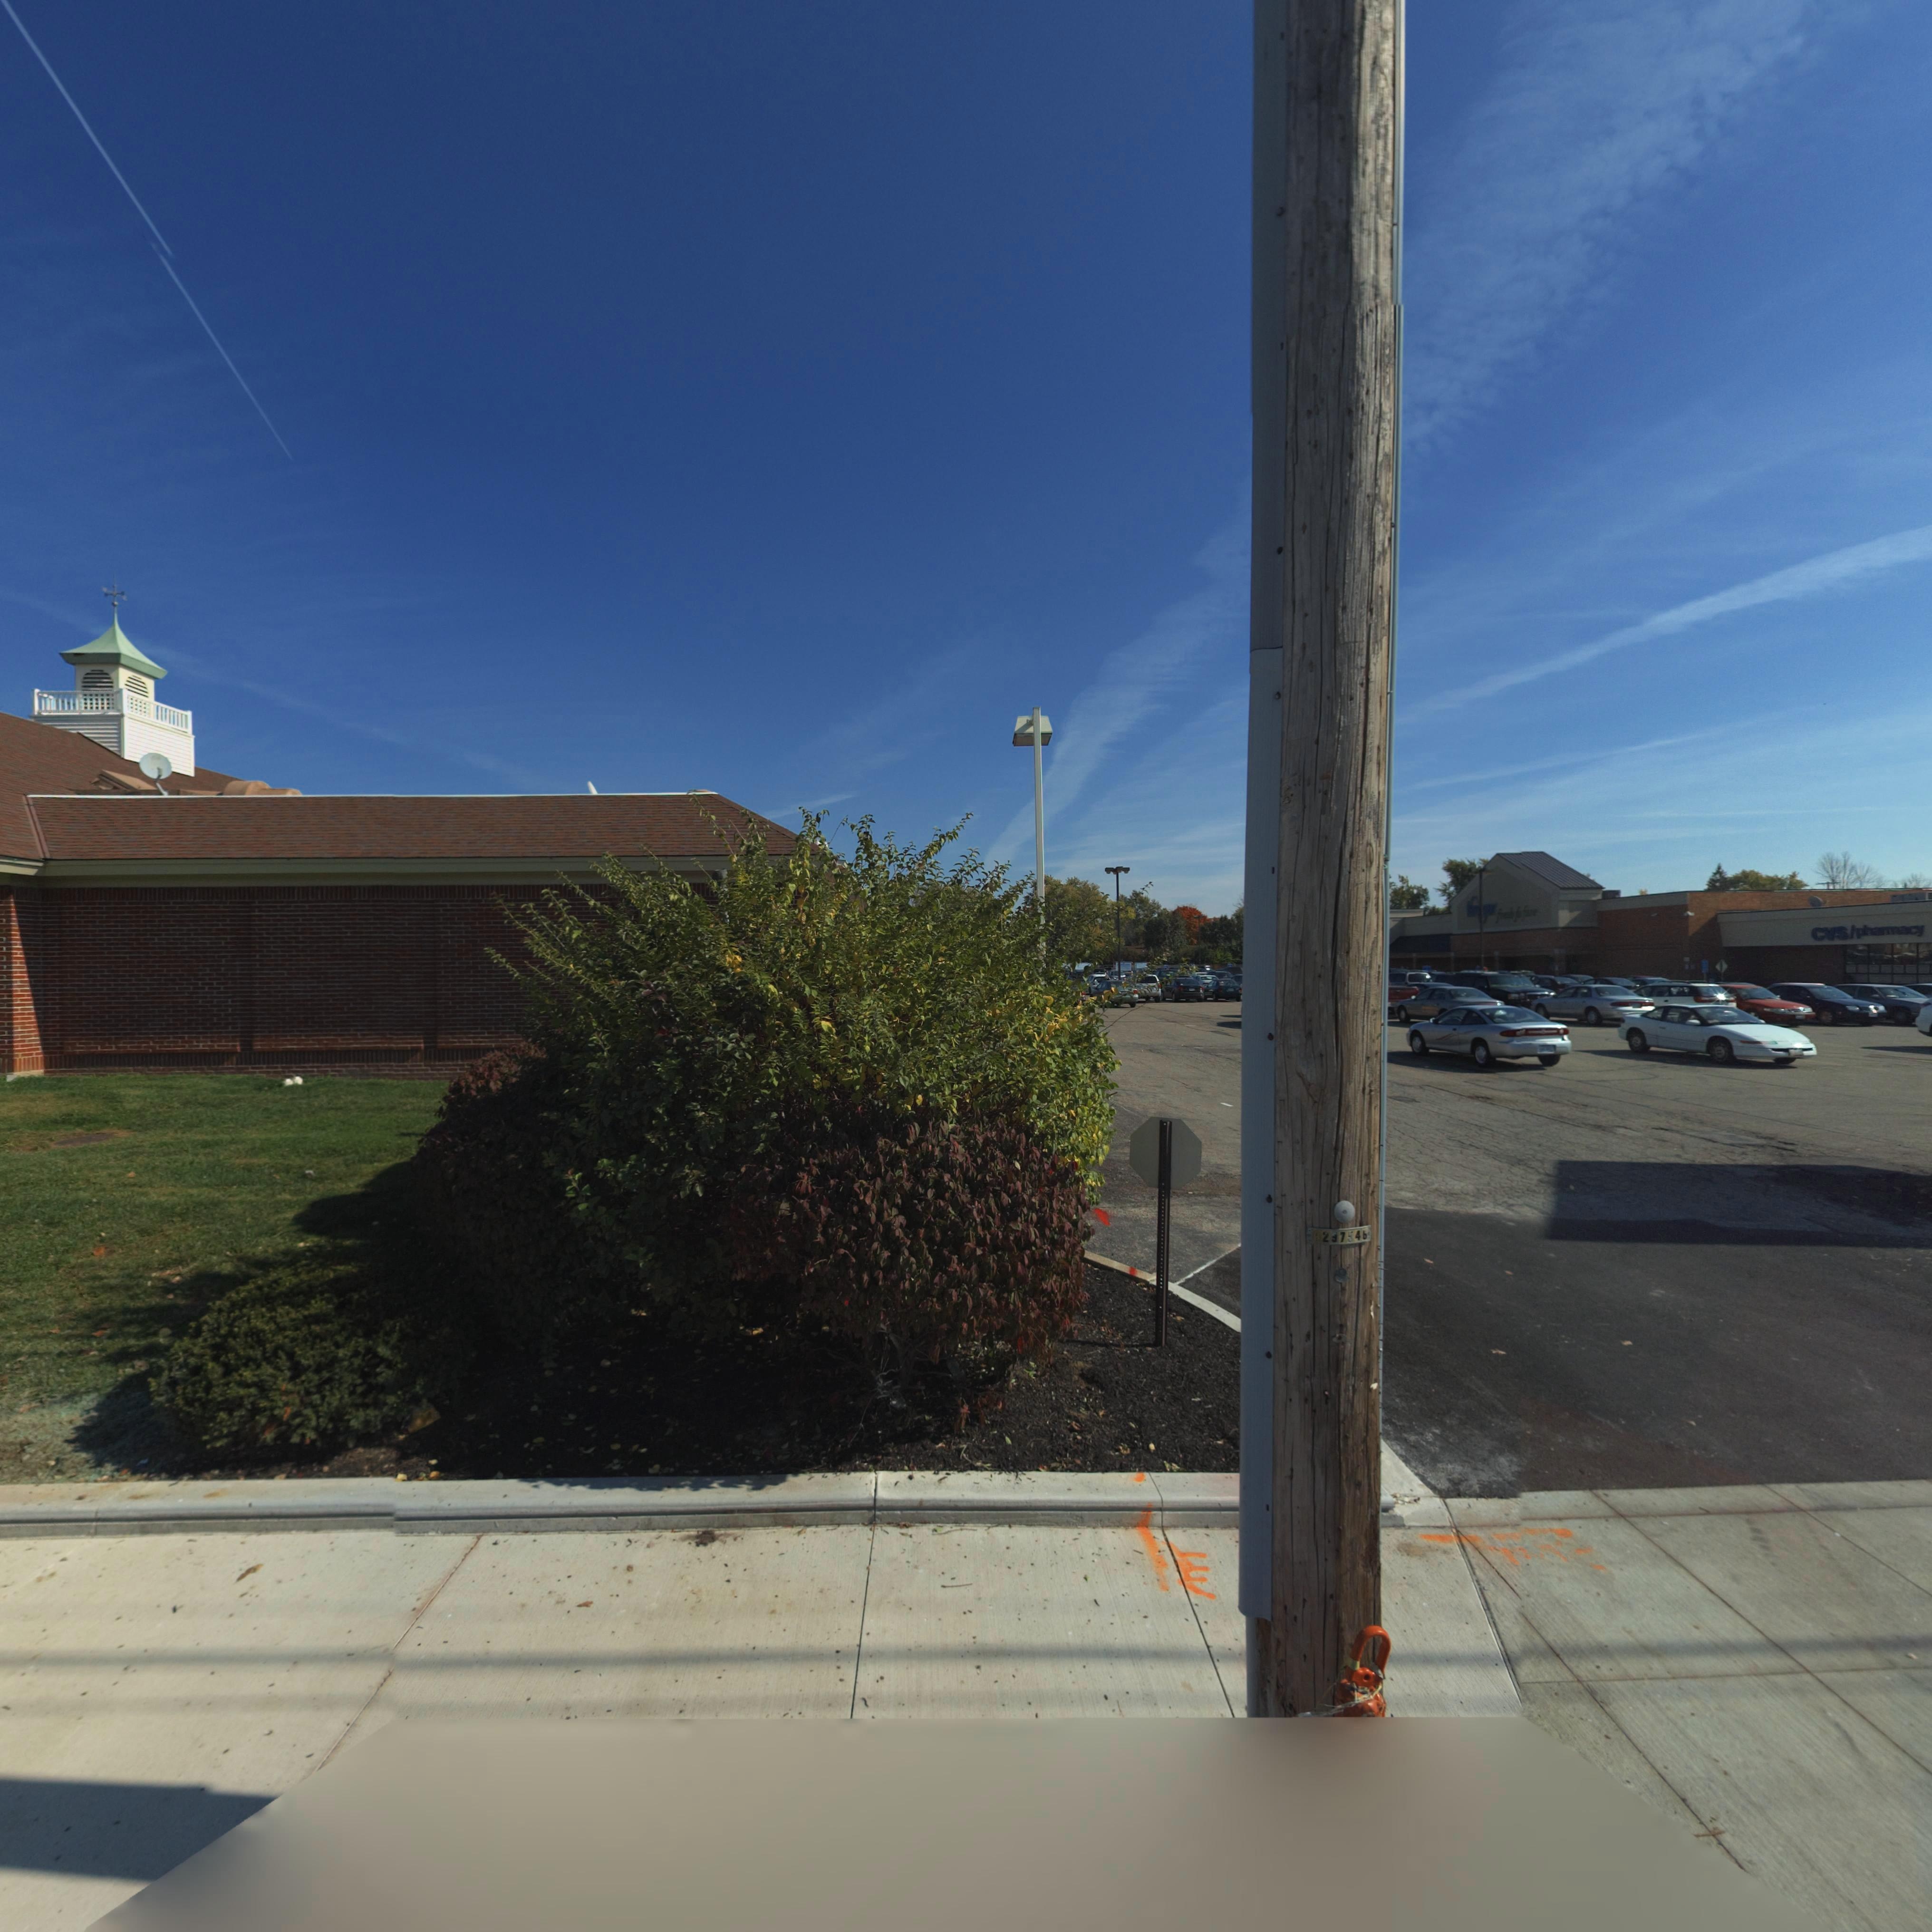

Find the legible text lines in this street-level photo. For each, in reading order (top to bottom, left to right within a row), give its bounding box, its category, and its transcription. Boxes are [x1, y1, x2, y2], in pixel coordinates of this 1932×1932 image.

[1810, 924, 1925, 941] BusinessName: CVS/pharmacy
[1322, 1229, 1367, 1243] None: 2*7546